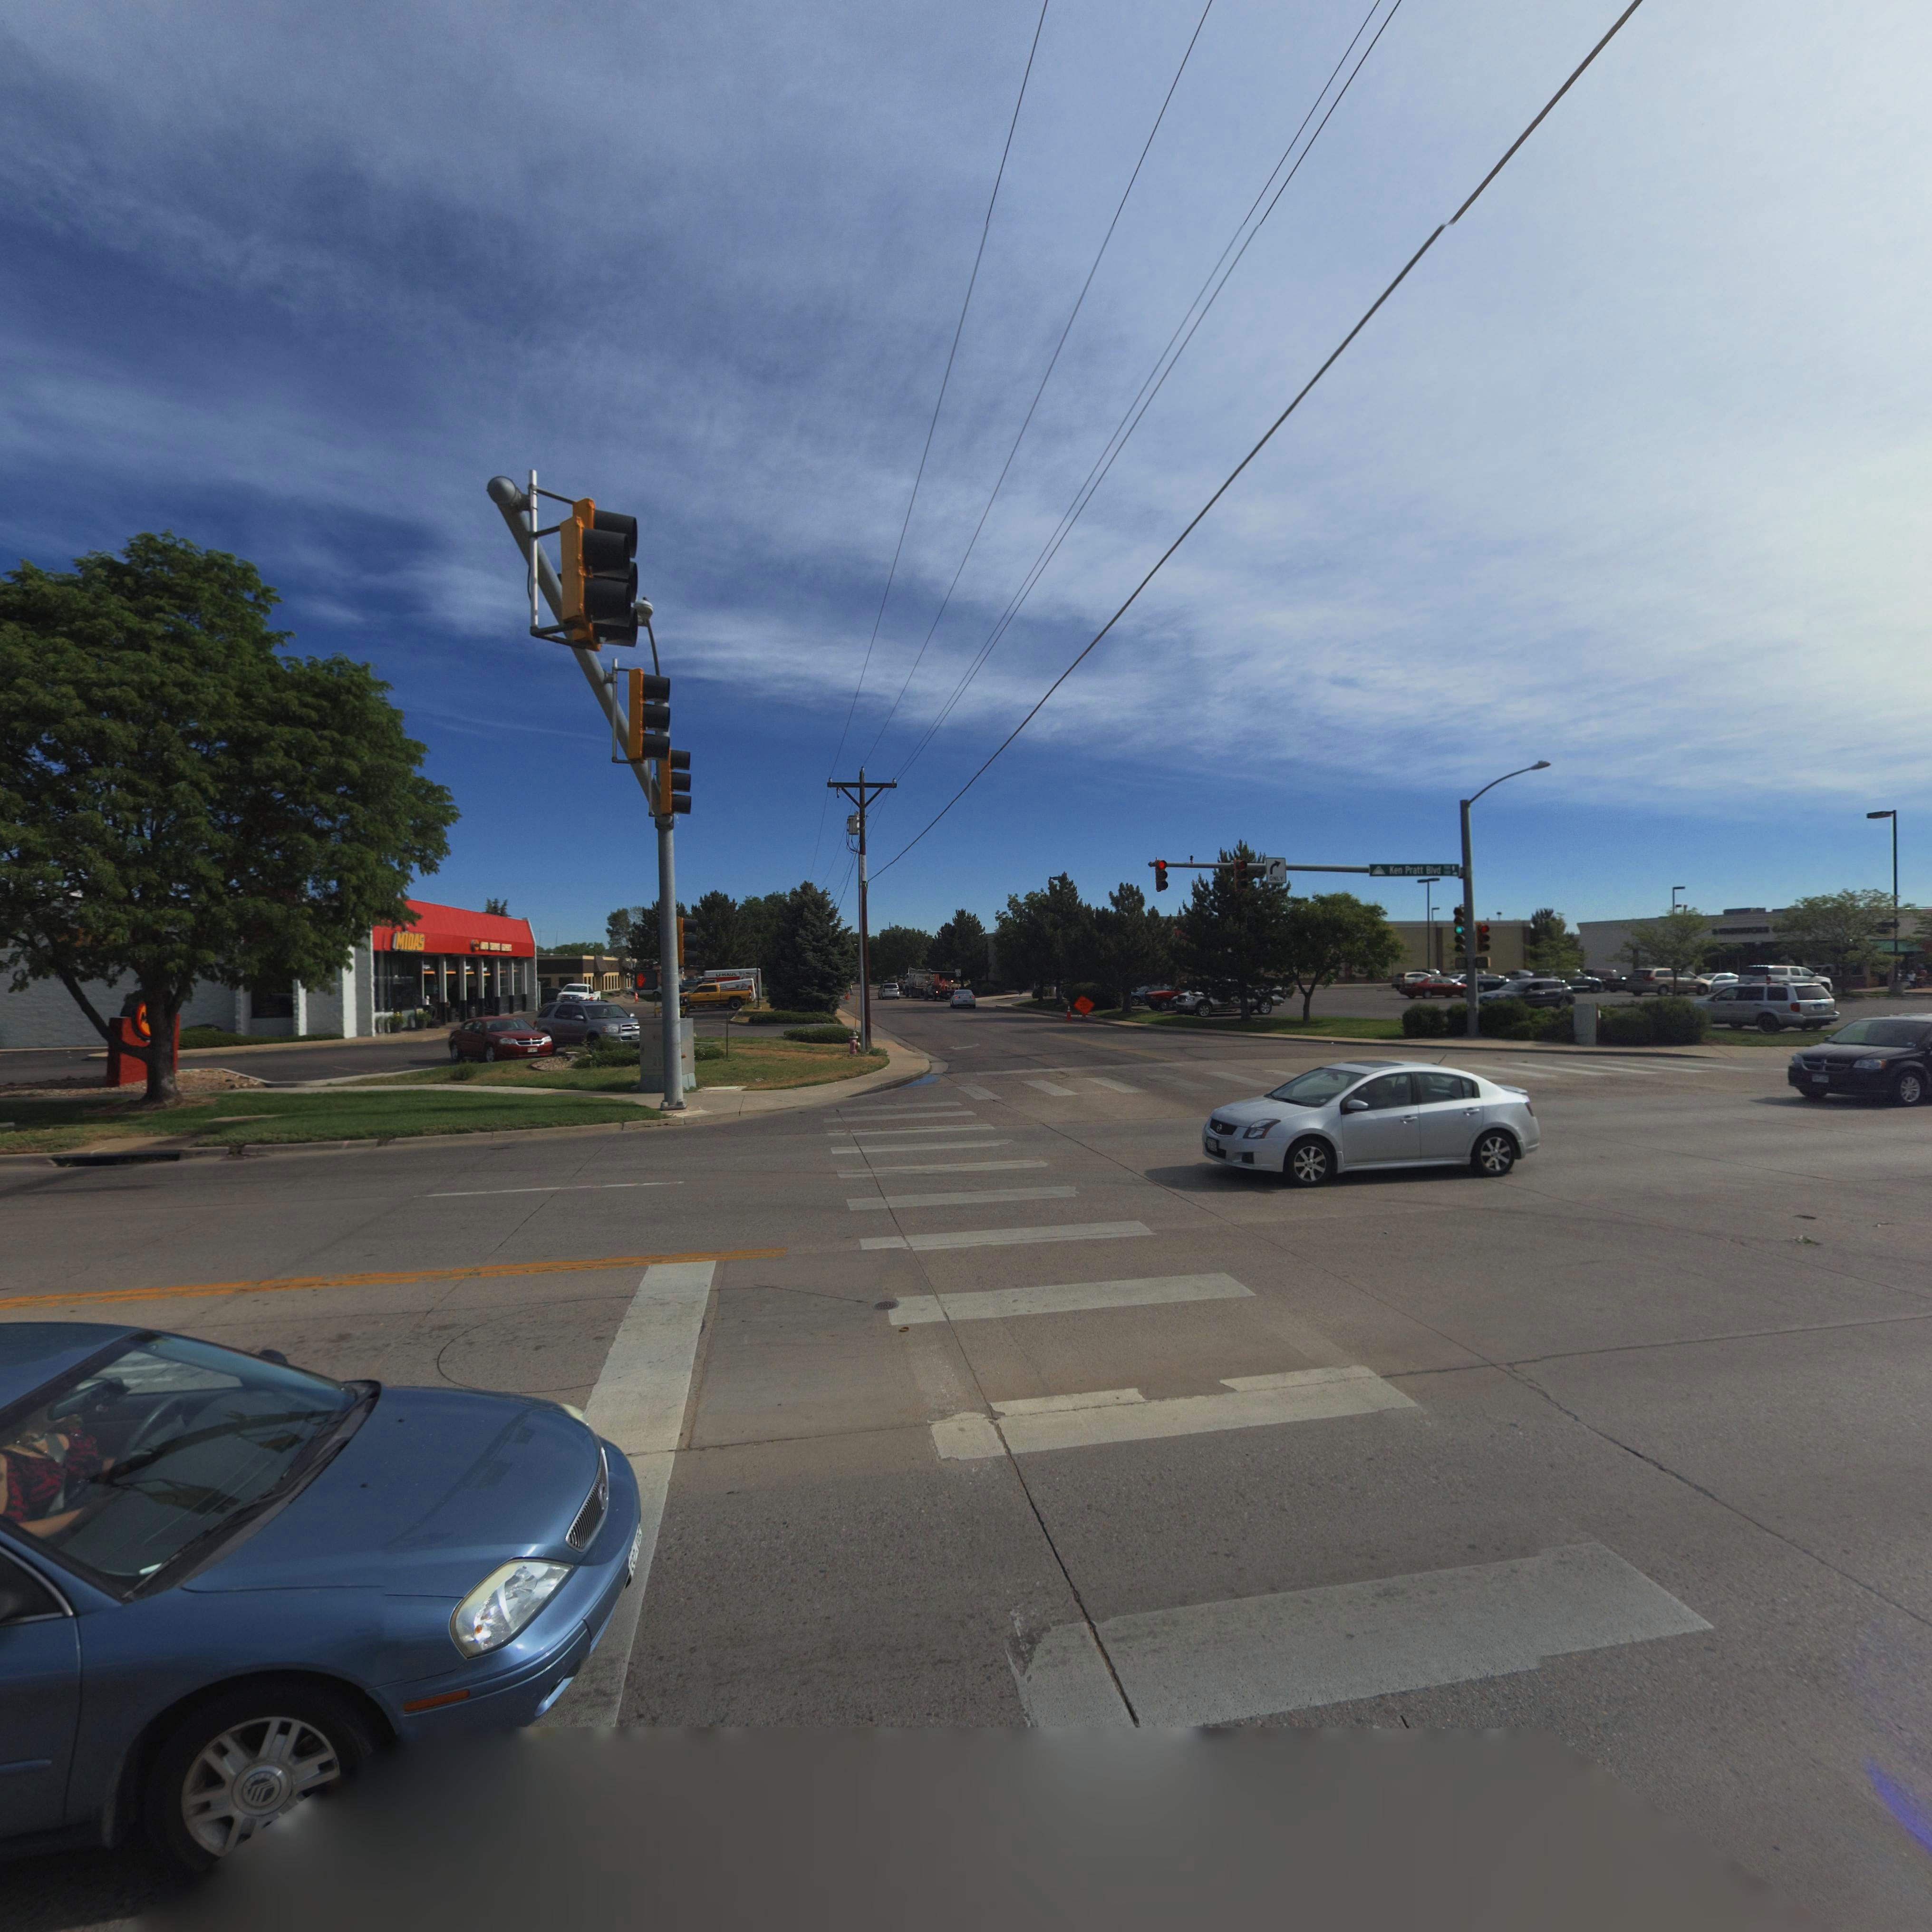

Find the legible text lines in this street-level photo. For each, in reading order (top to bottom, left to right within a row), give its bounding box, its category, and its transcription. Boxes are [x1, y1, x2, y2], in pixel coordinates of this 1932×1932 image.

[1389, 865, 1441, 874] StreetName: Ken Pratt Blvd
[395, 922, 425, 951] BusinessName: MiDAS
[1710, 925, 1770, 936] BusinessName: S********S
[140, 1011, 149, 1024] BusinessName: M